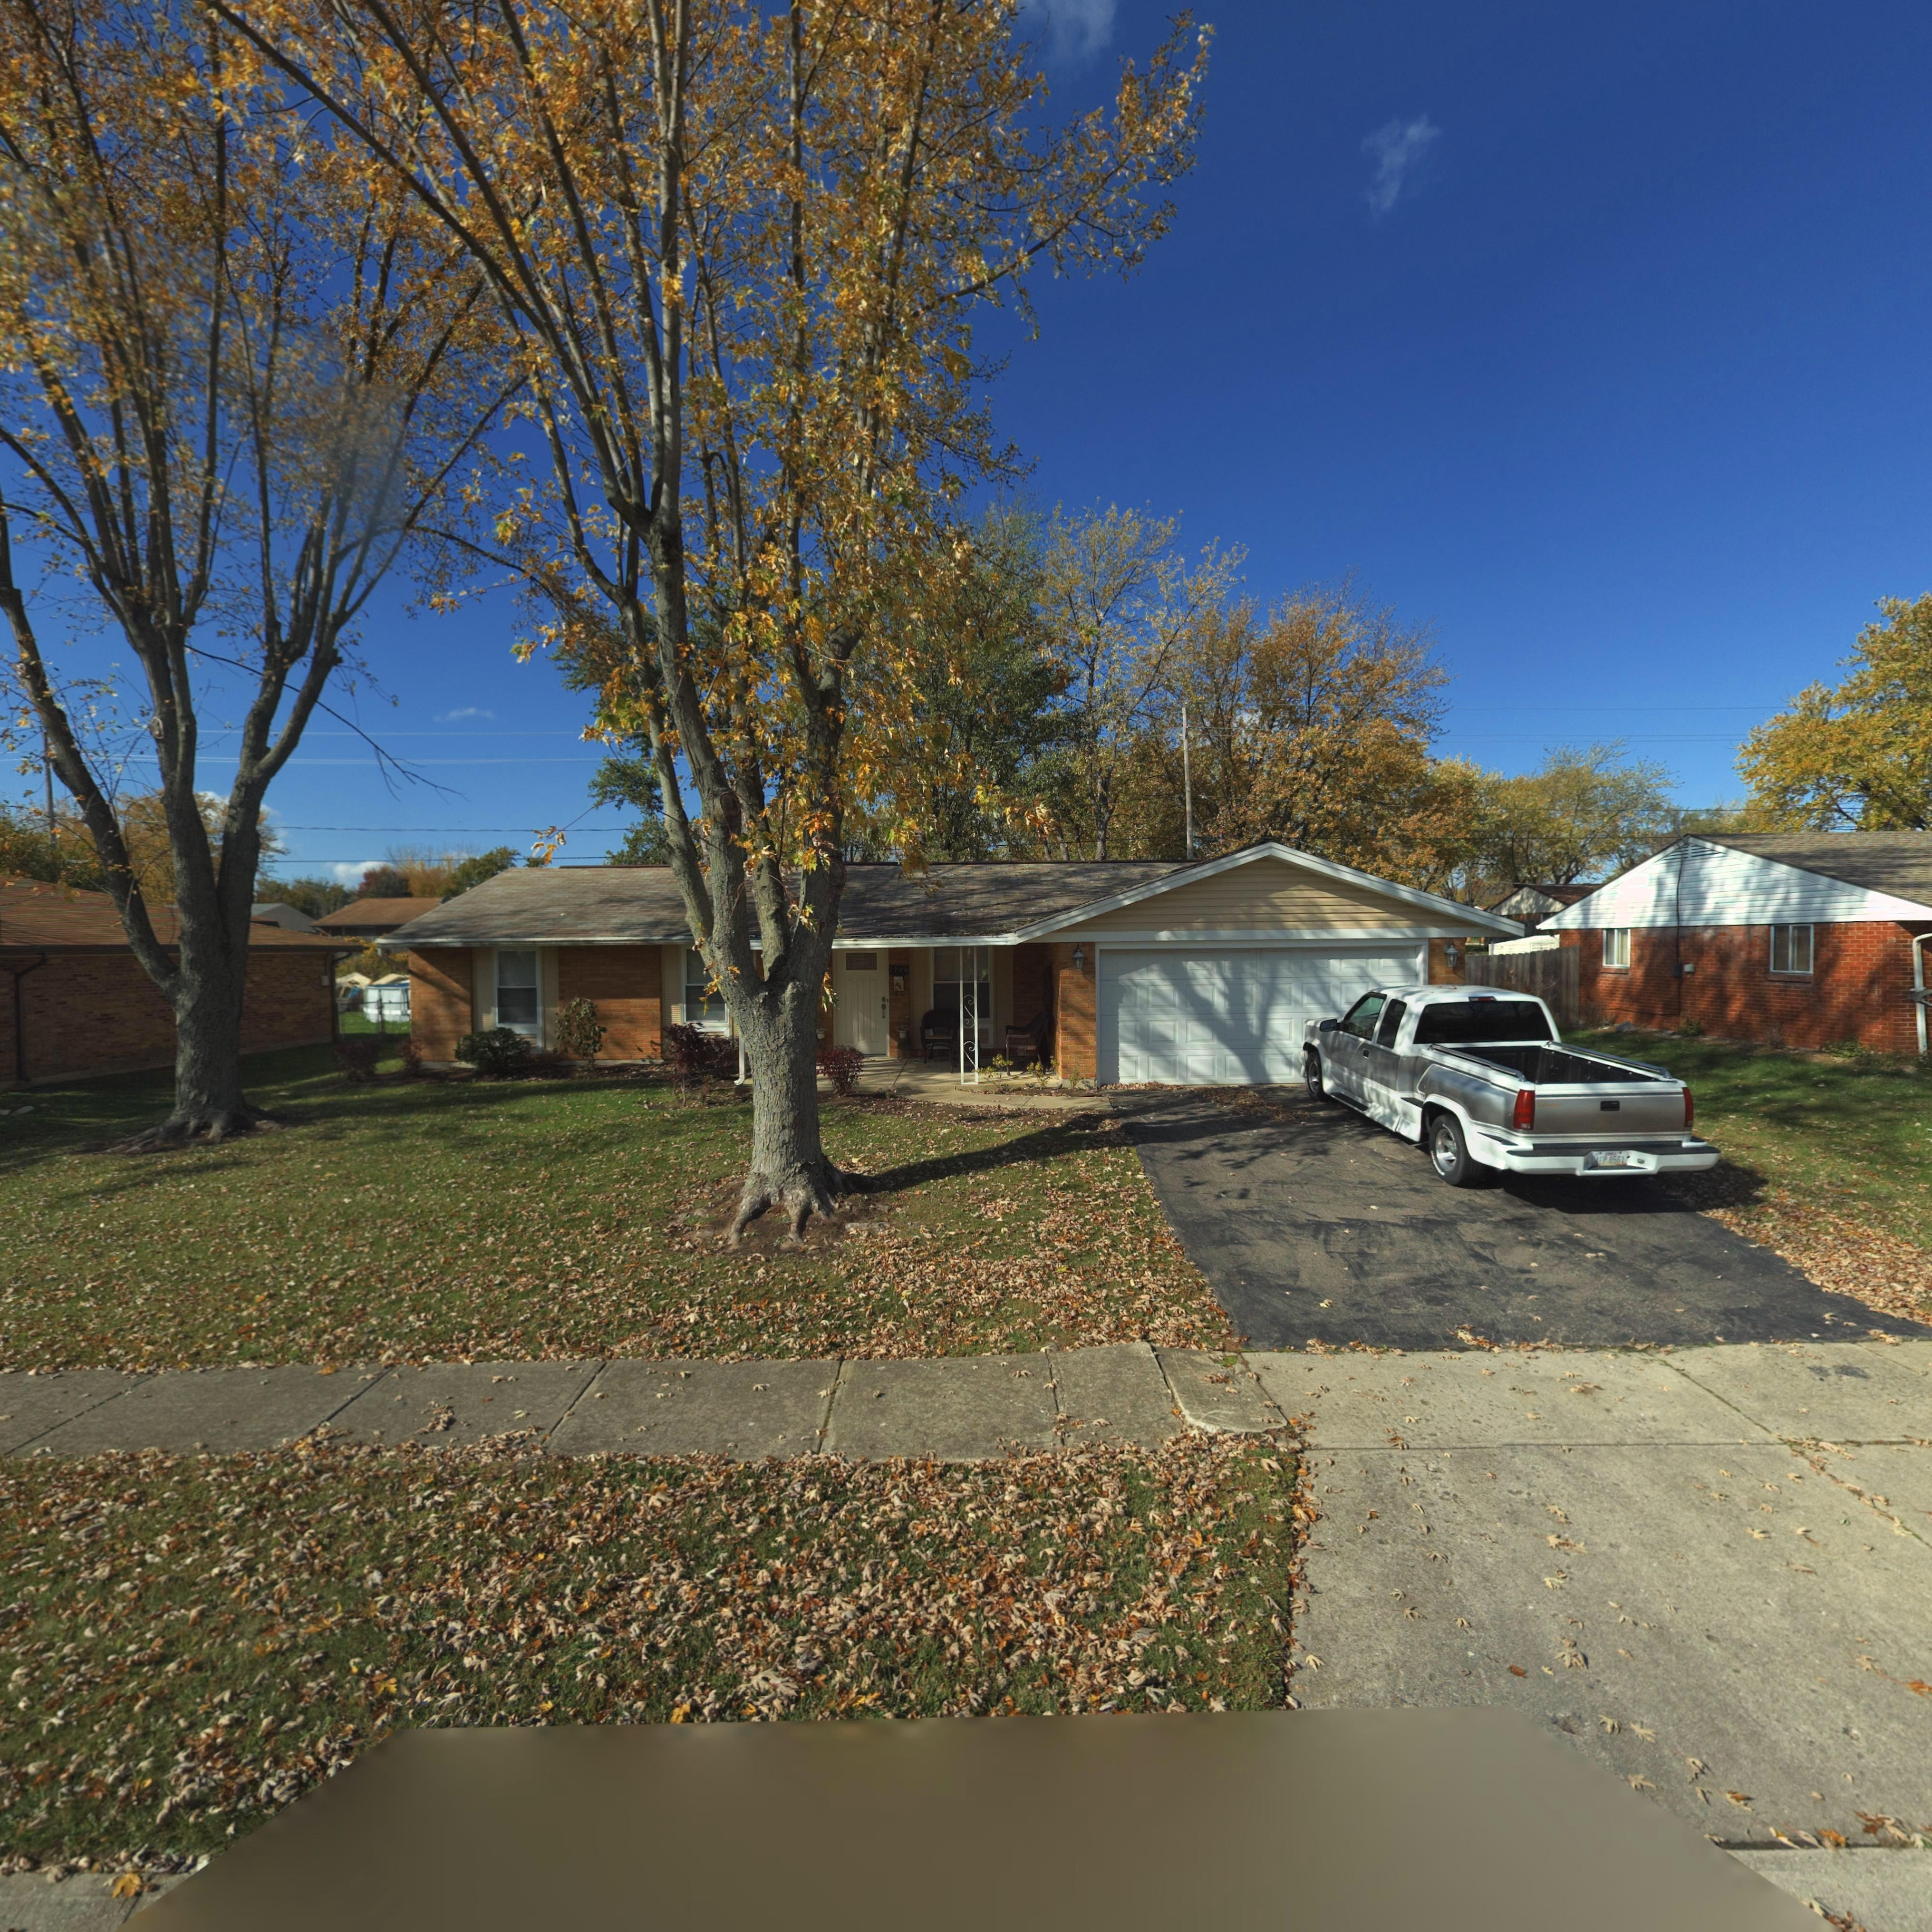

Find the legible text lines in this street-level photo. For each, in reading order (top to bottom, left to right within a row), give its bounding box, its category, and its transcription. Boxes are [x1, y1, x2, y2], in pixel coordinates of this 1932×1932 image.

[888, 966, 909, 974] StreetNumber: 7709